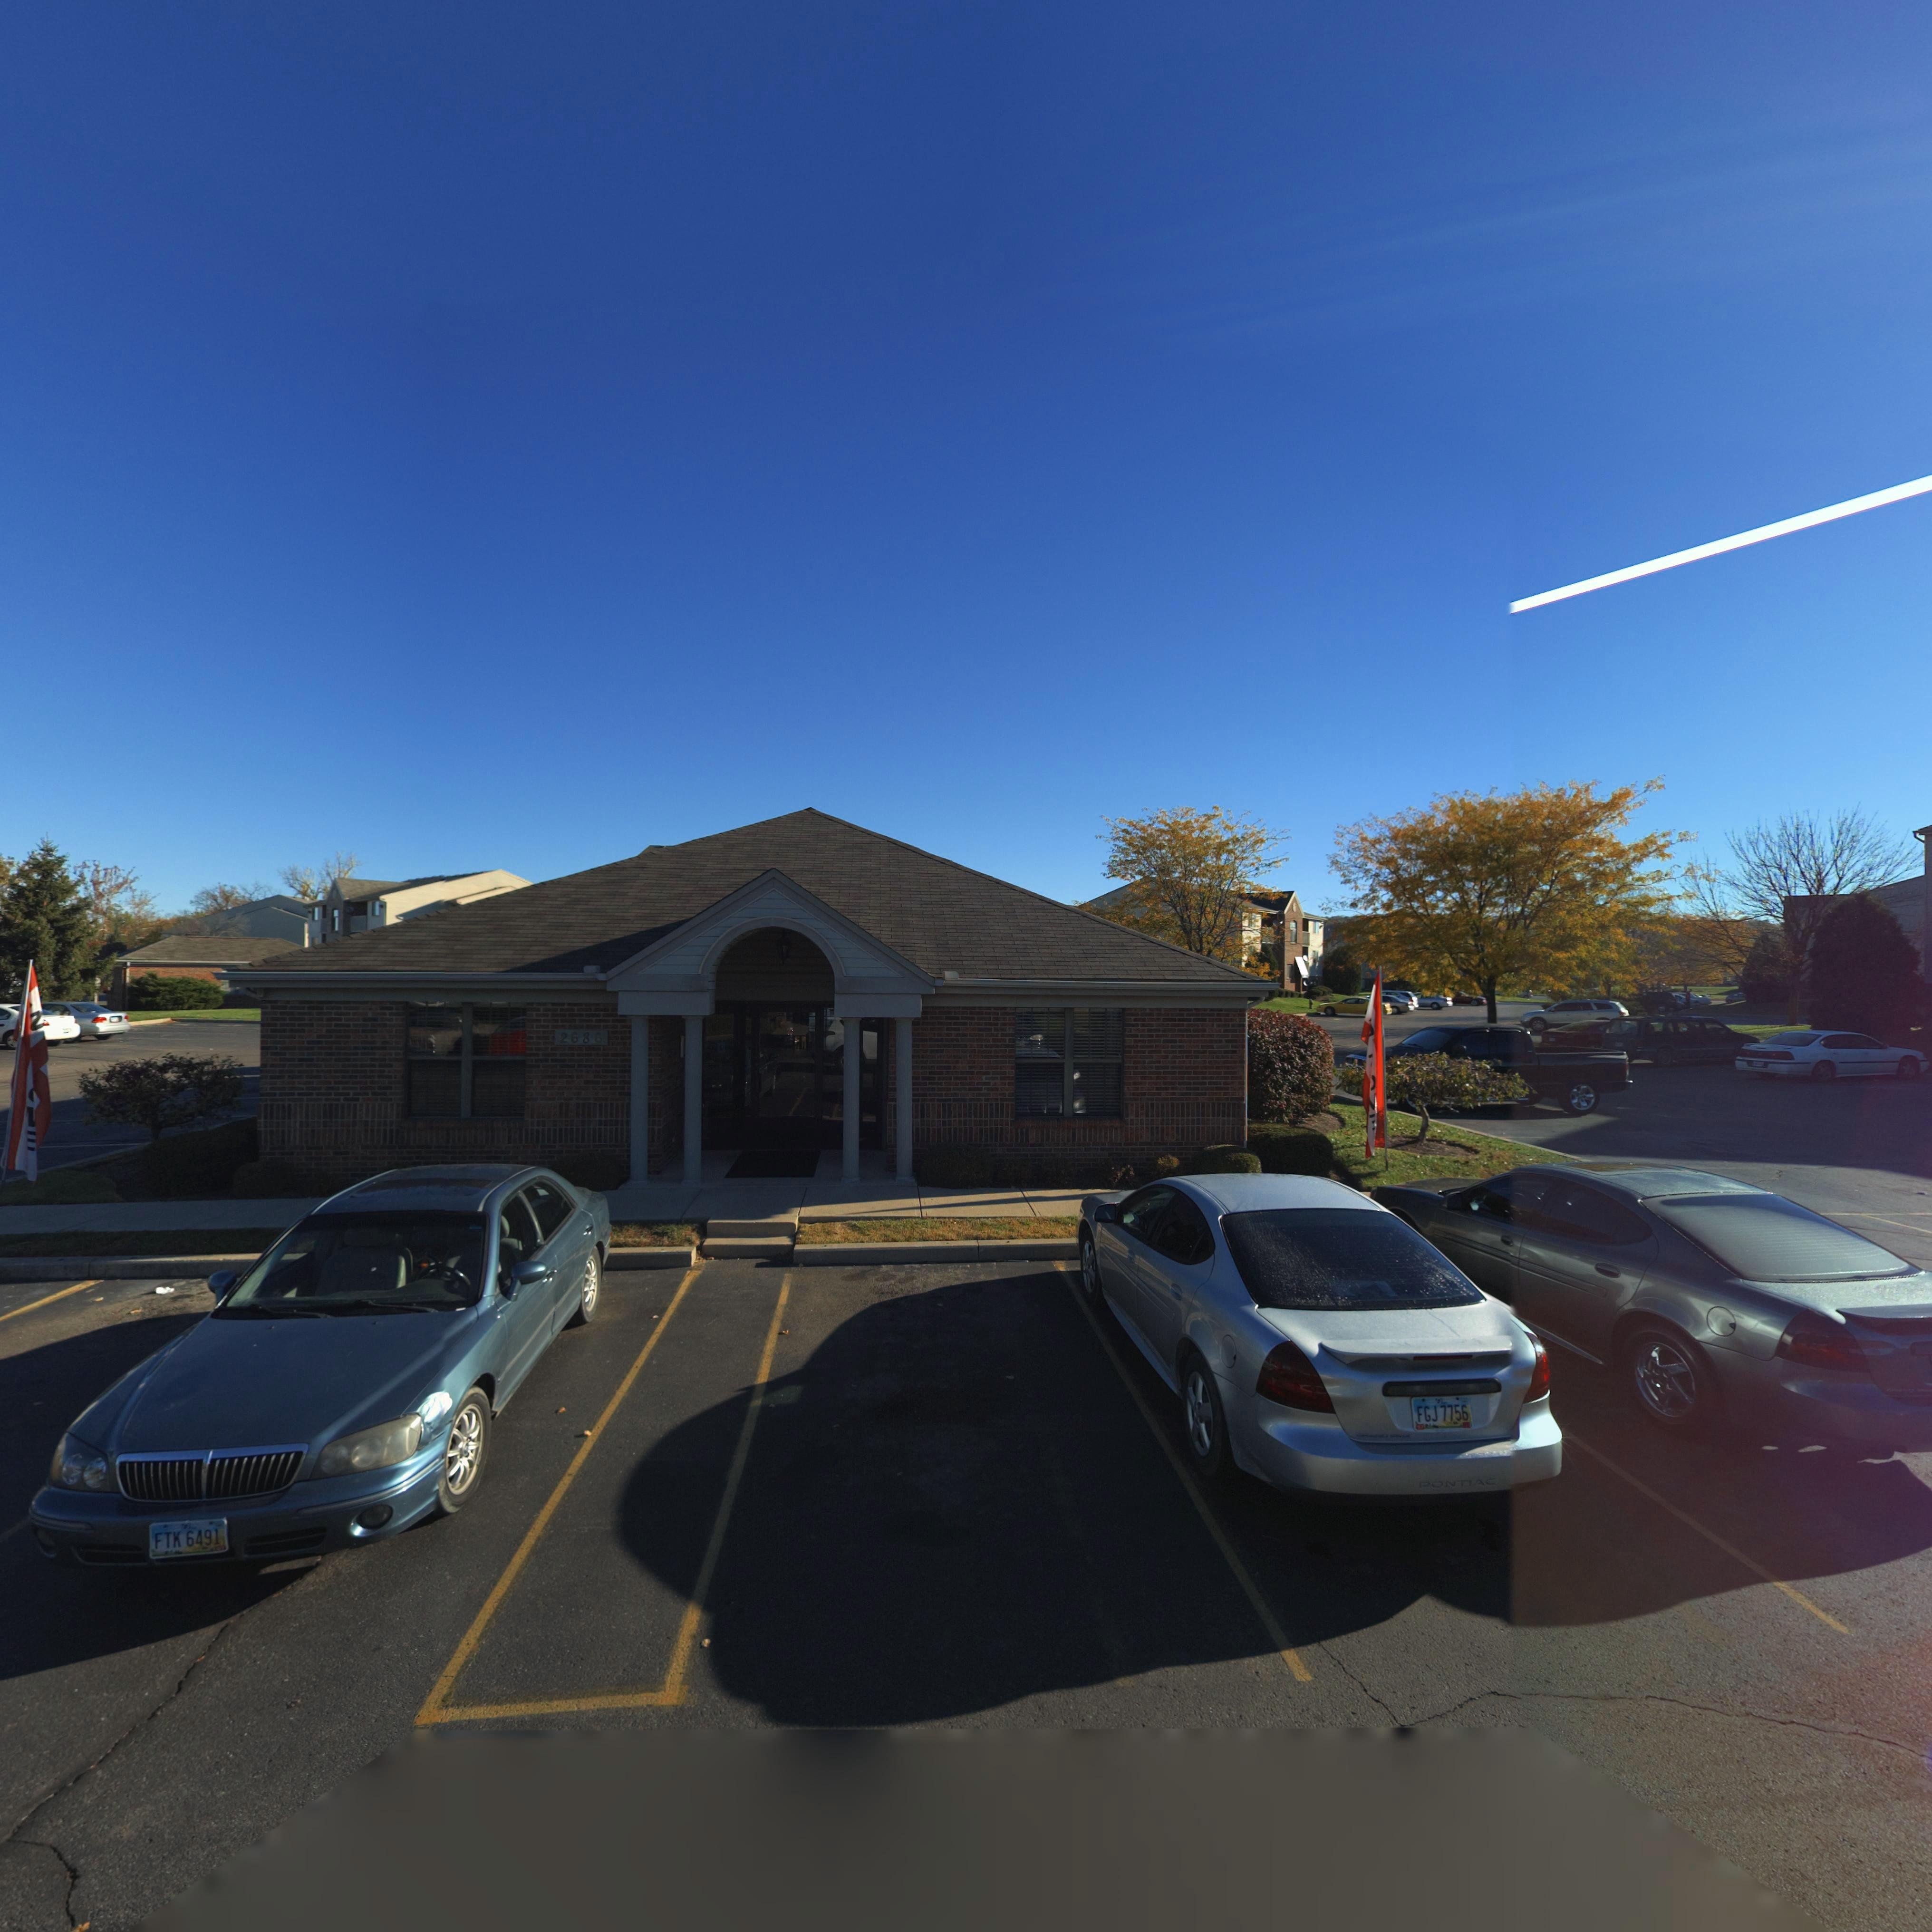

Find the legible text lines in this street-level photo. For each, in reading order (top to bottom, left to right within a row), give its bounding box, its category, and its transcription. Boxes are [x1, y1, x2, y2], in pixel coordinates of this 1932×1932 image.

[560, 1031, 603, 1044] StreetNumber: 2686